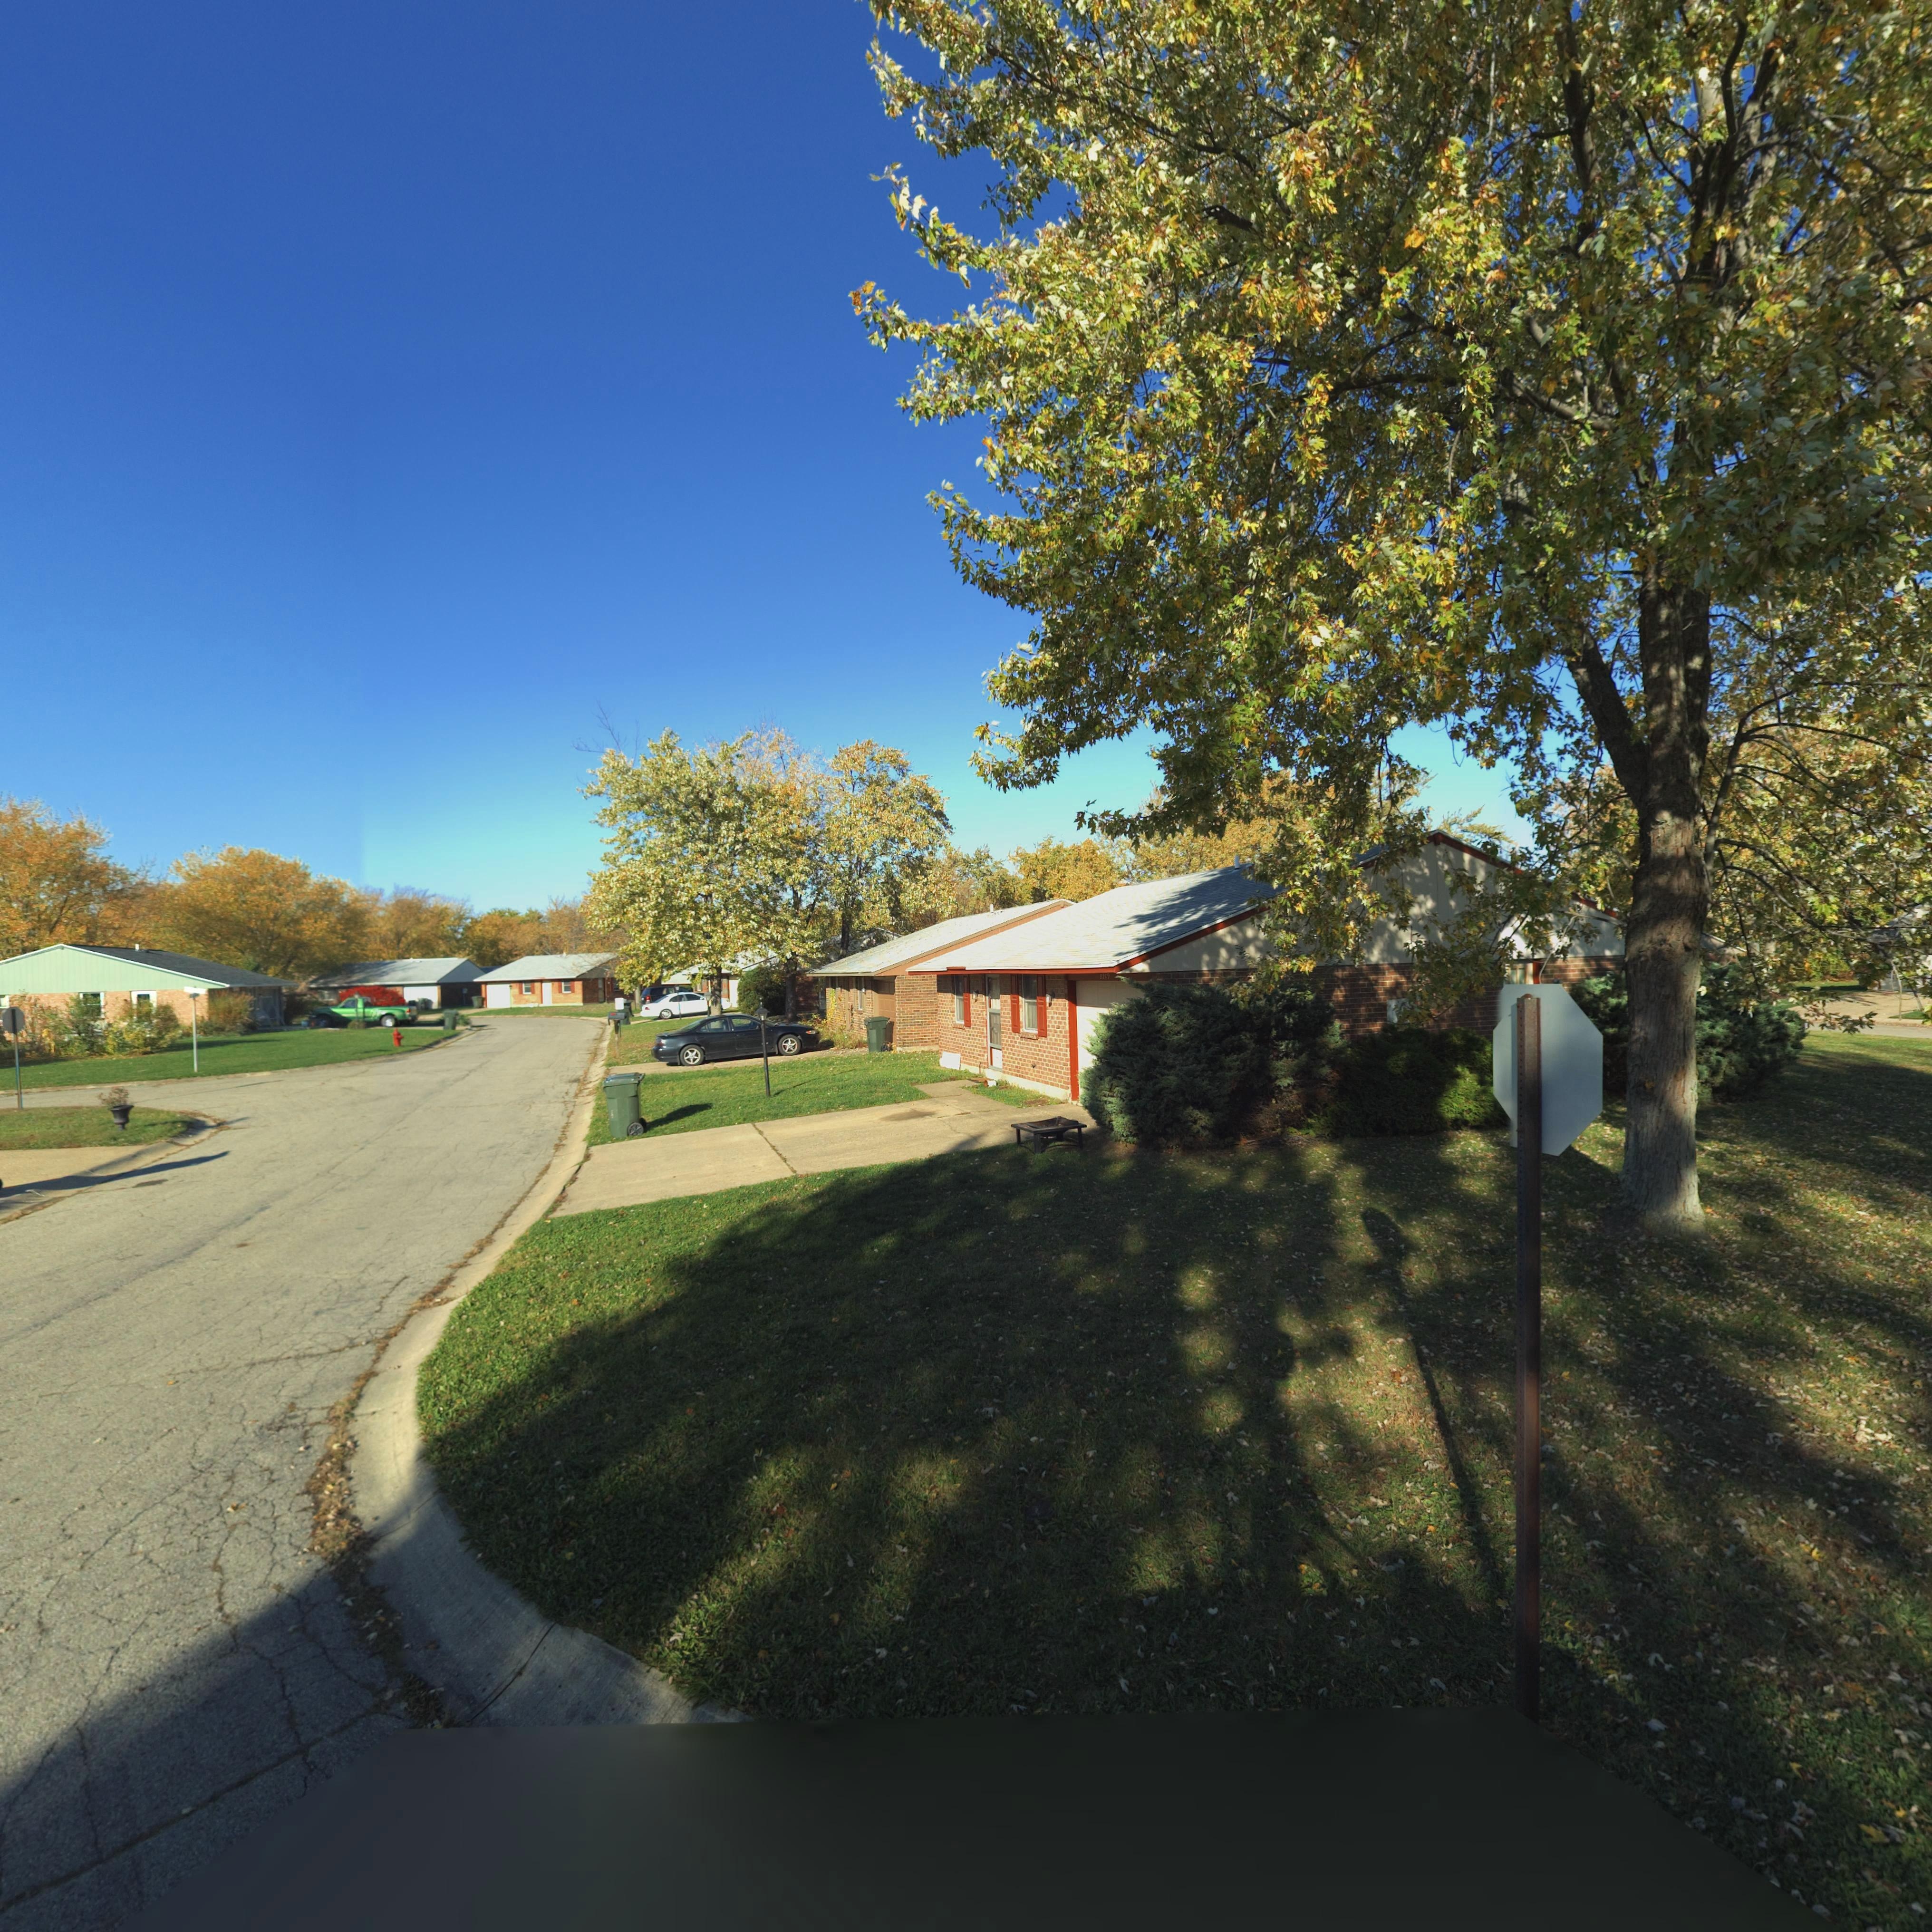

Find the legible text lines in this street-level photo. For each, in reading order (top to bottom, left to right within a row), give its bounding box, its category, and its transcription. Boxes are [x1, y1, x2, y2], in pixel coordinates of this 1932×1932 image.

[1099, 972, 1110, 980] StreetNumber: 82*9